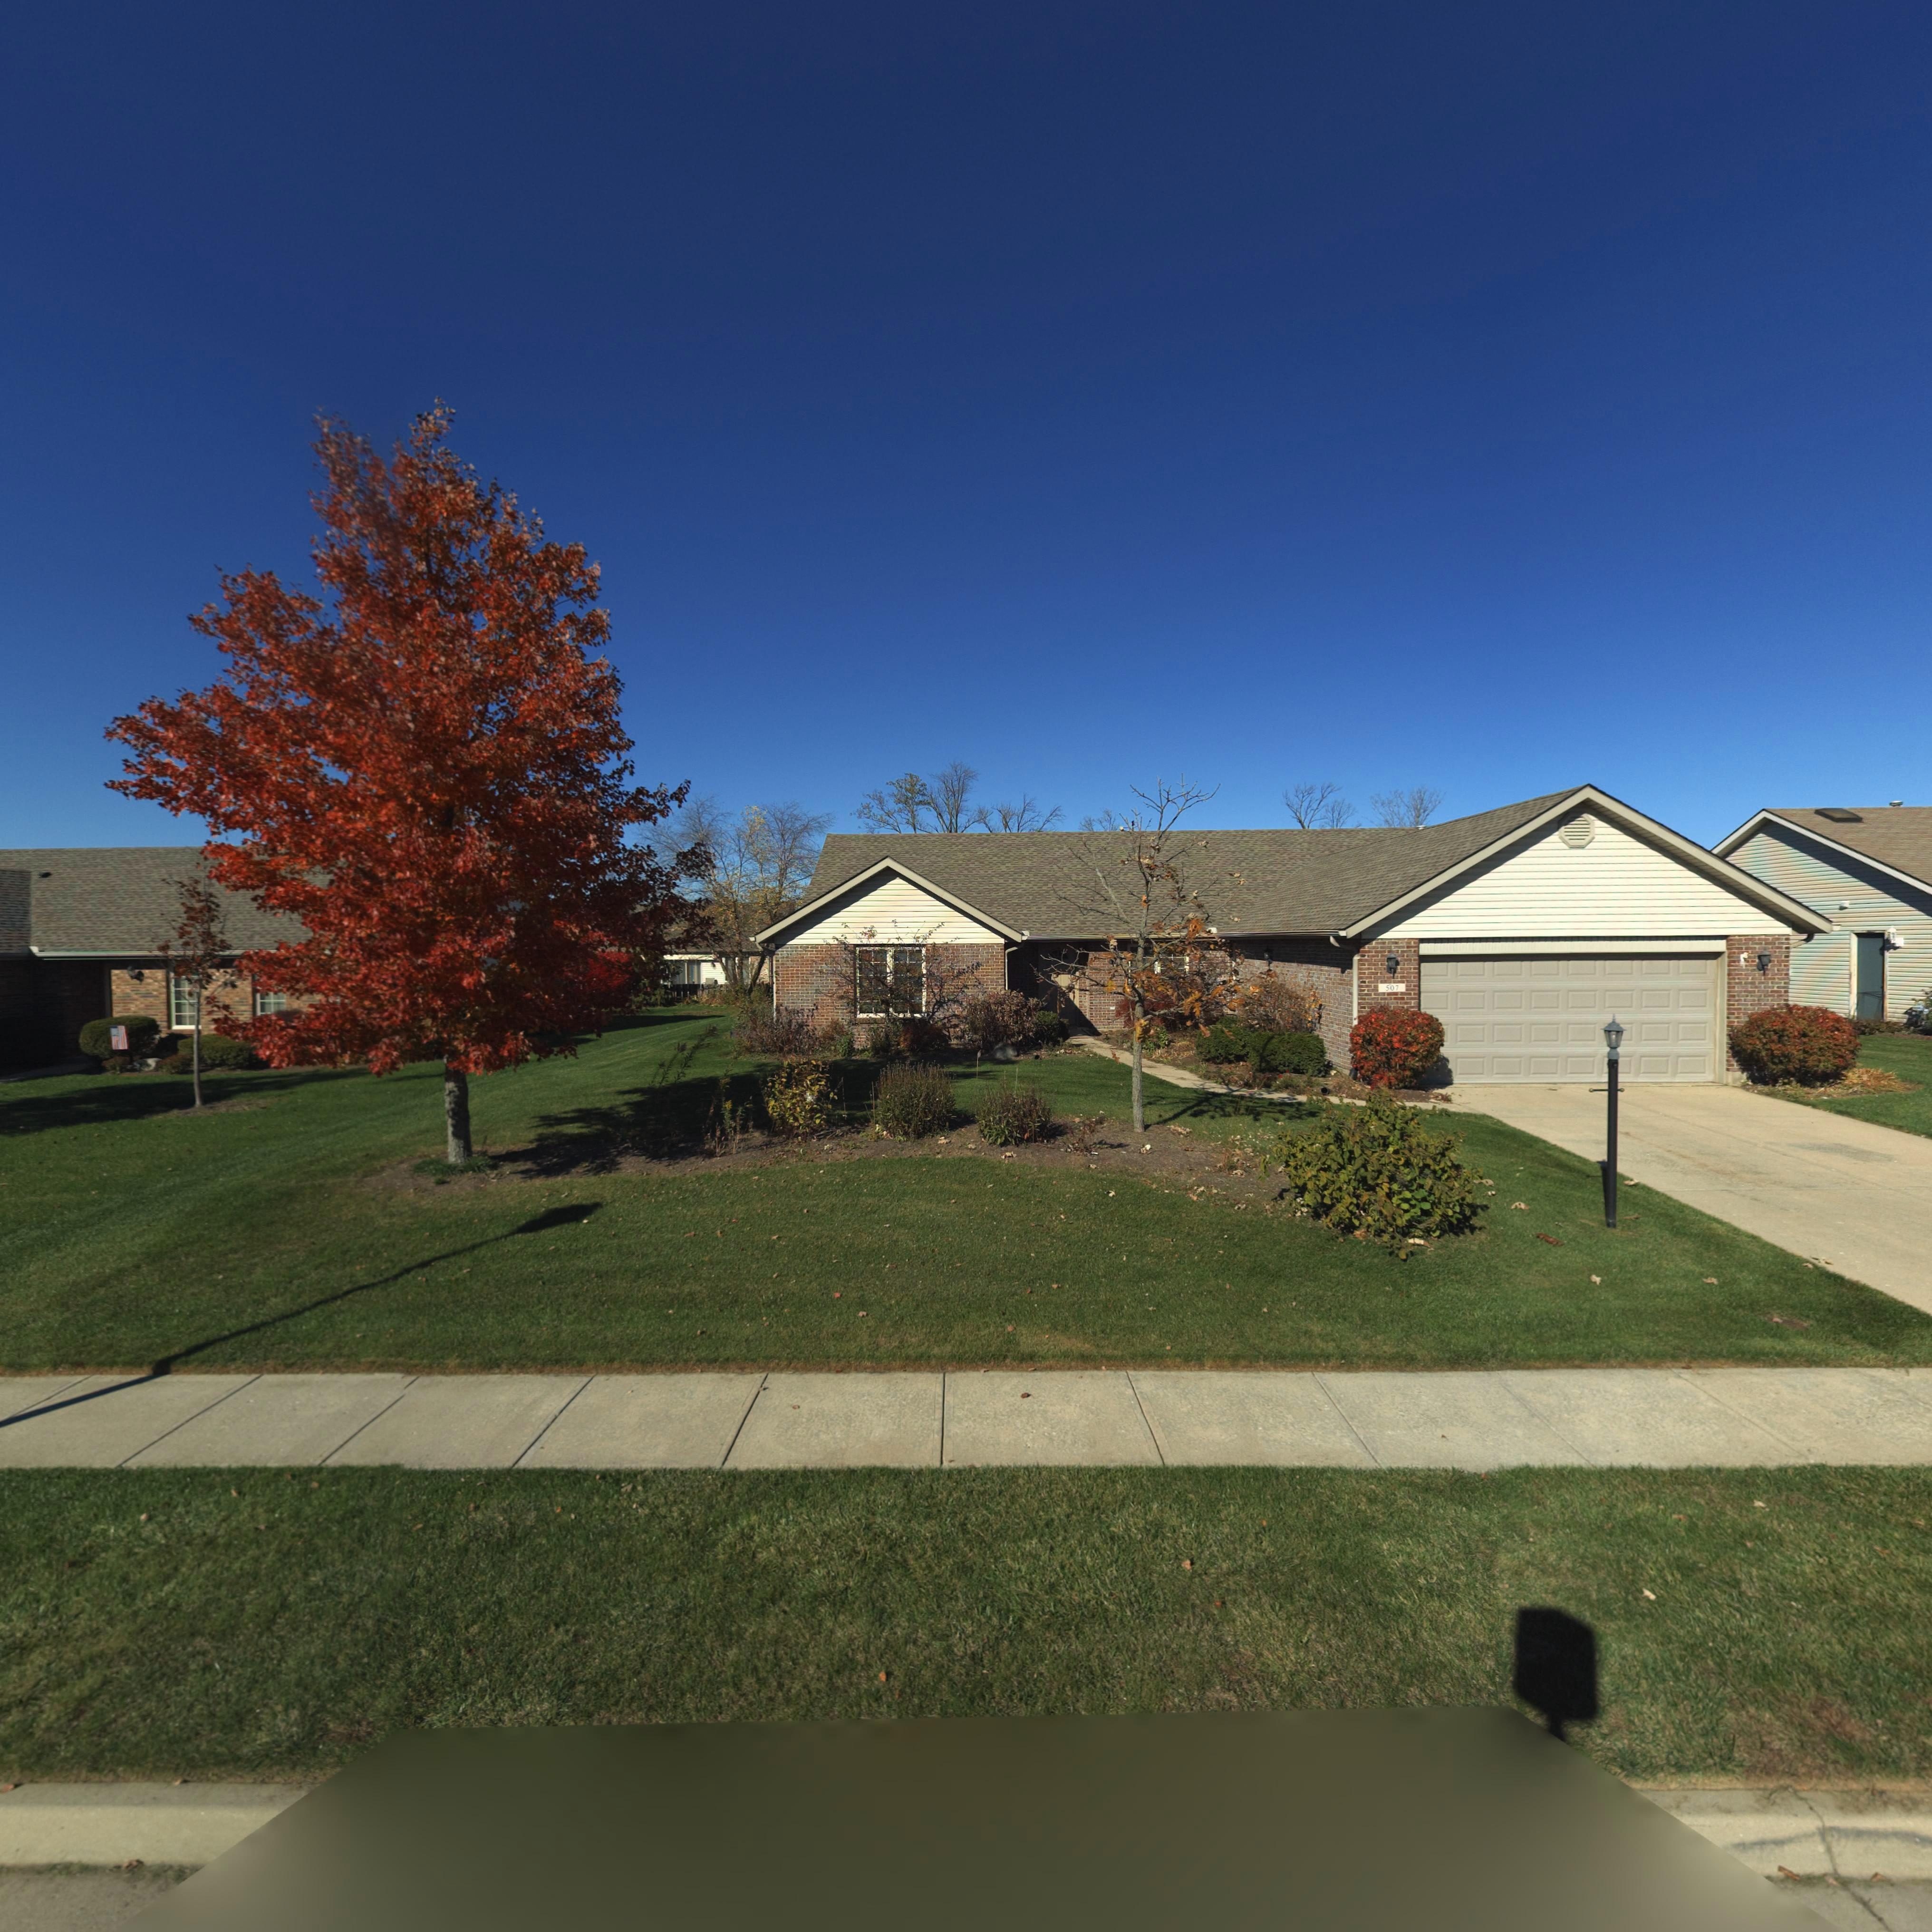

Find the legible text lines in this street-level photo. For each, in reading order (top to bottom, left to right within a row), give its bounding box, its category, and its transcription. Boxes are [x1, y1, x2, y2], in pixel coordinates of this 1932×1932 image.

[1385, 984, 1400, 992] StreetNumber: 507